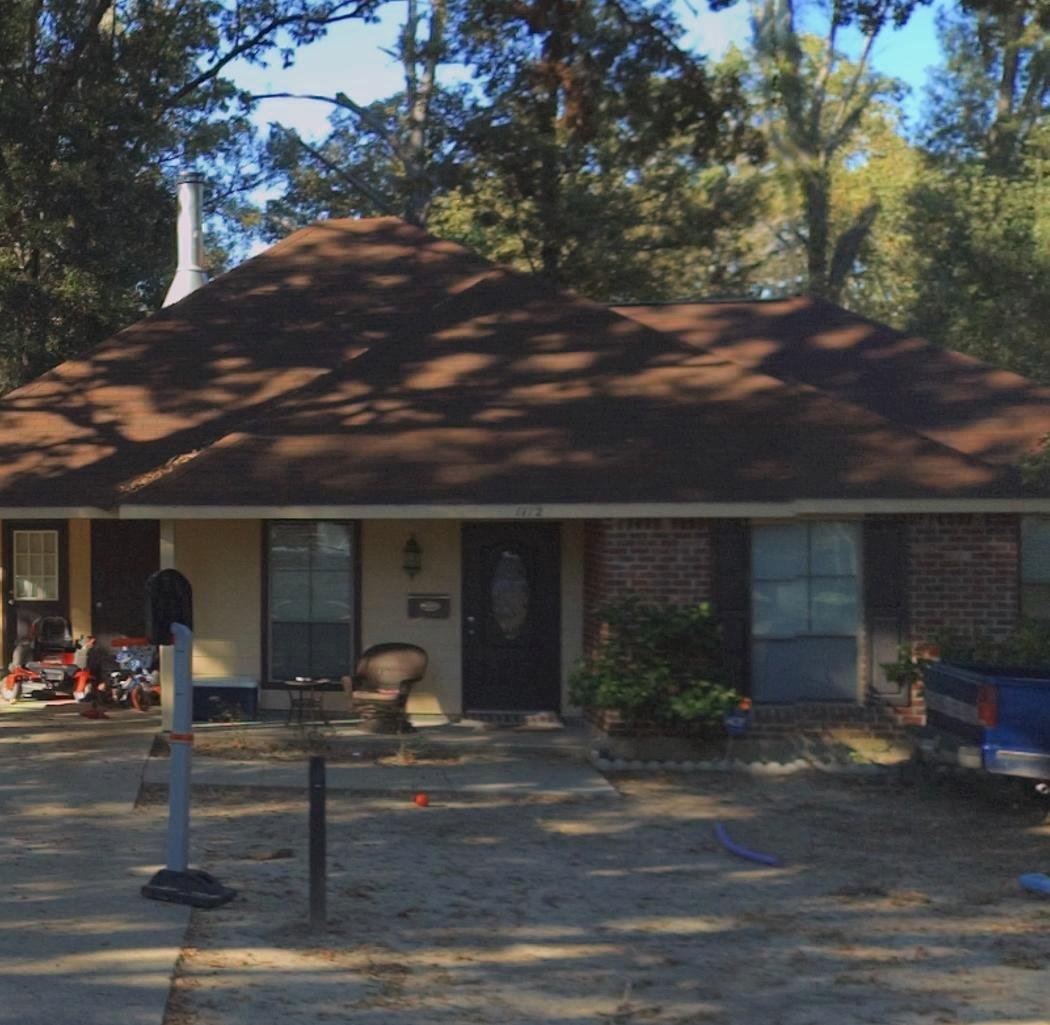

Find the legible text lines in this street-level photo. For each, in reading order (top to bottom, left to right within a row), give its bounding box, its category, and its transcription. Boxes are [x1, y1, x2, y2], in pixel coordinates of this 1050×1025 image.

[513, 505, 546, 518] StreetNumber: 1112